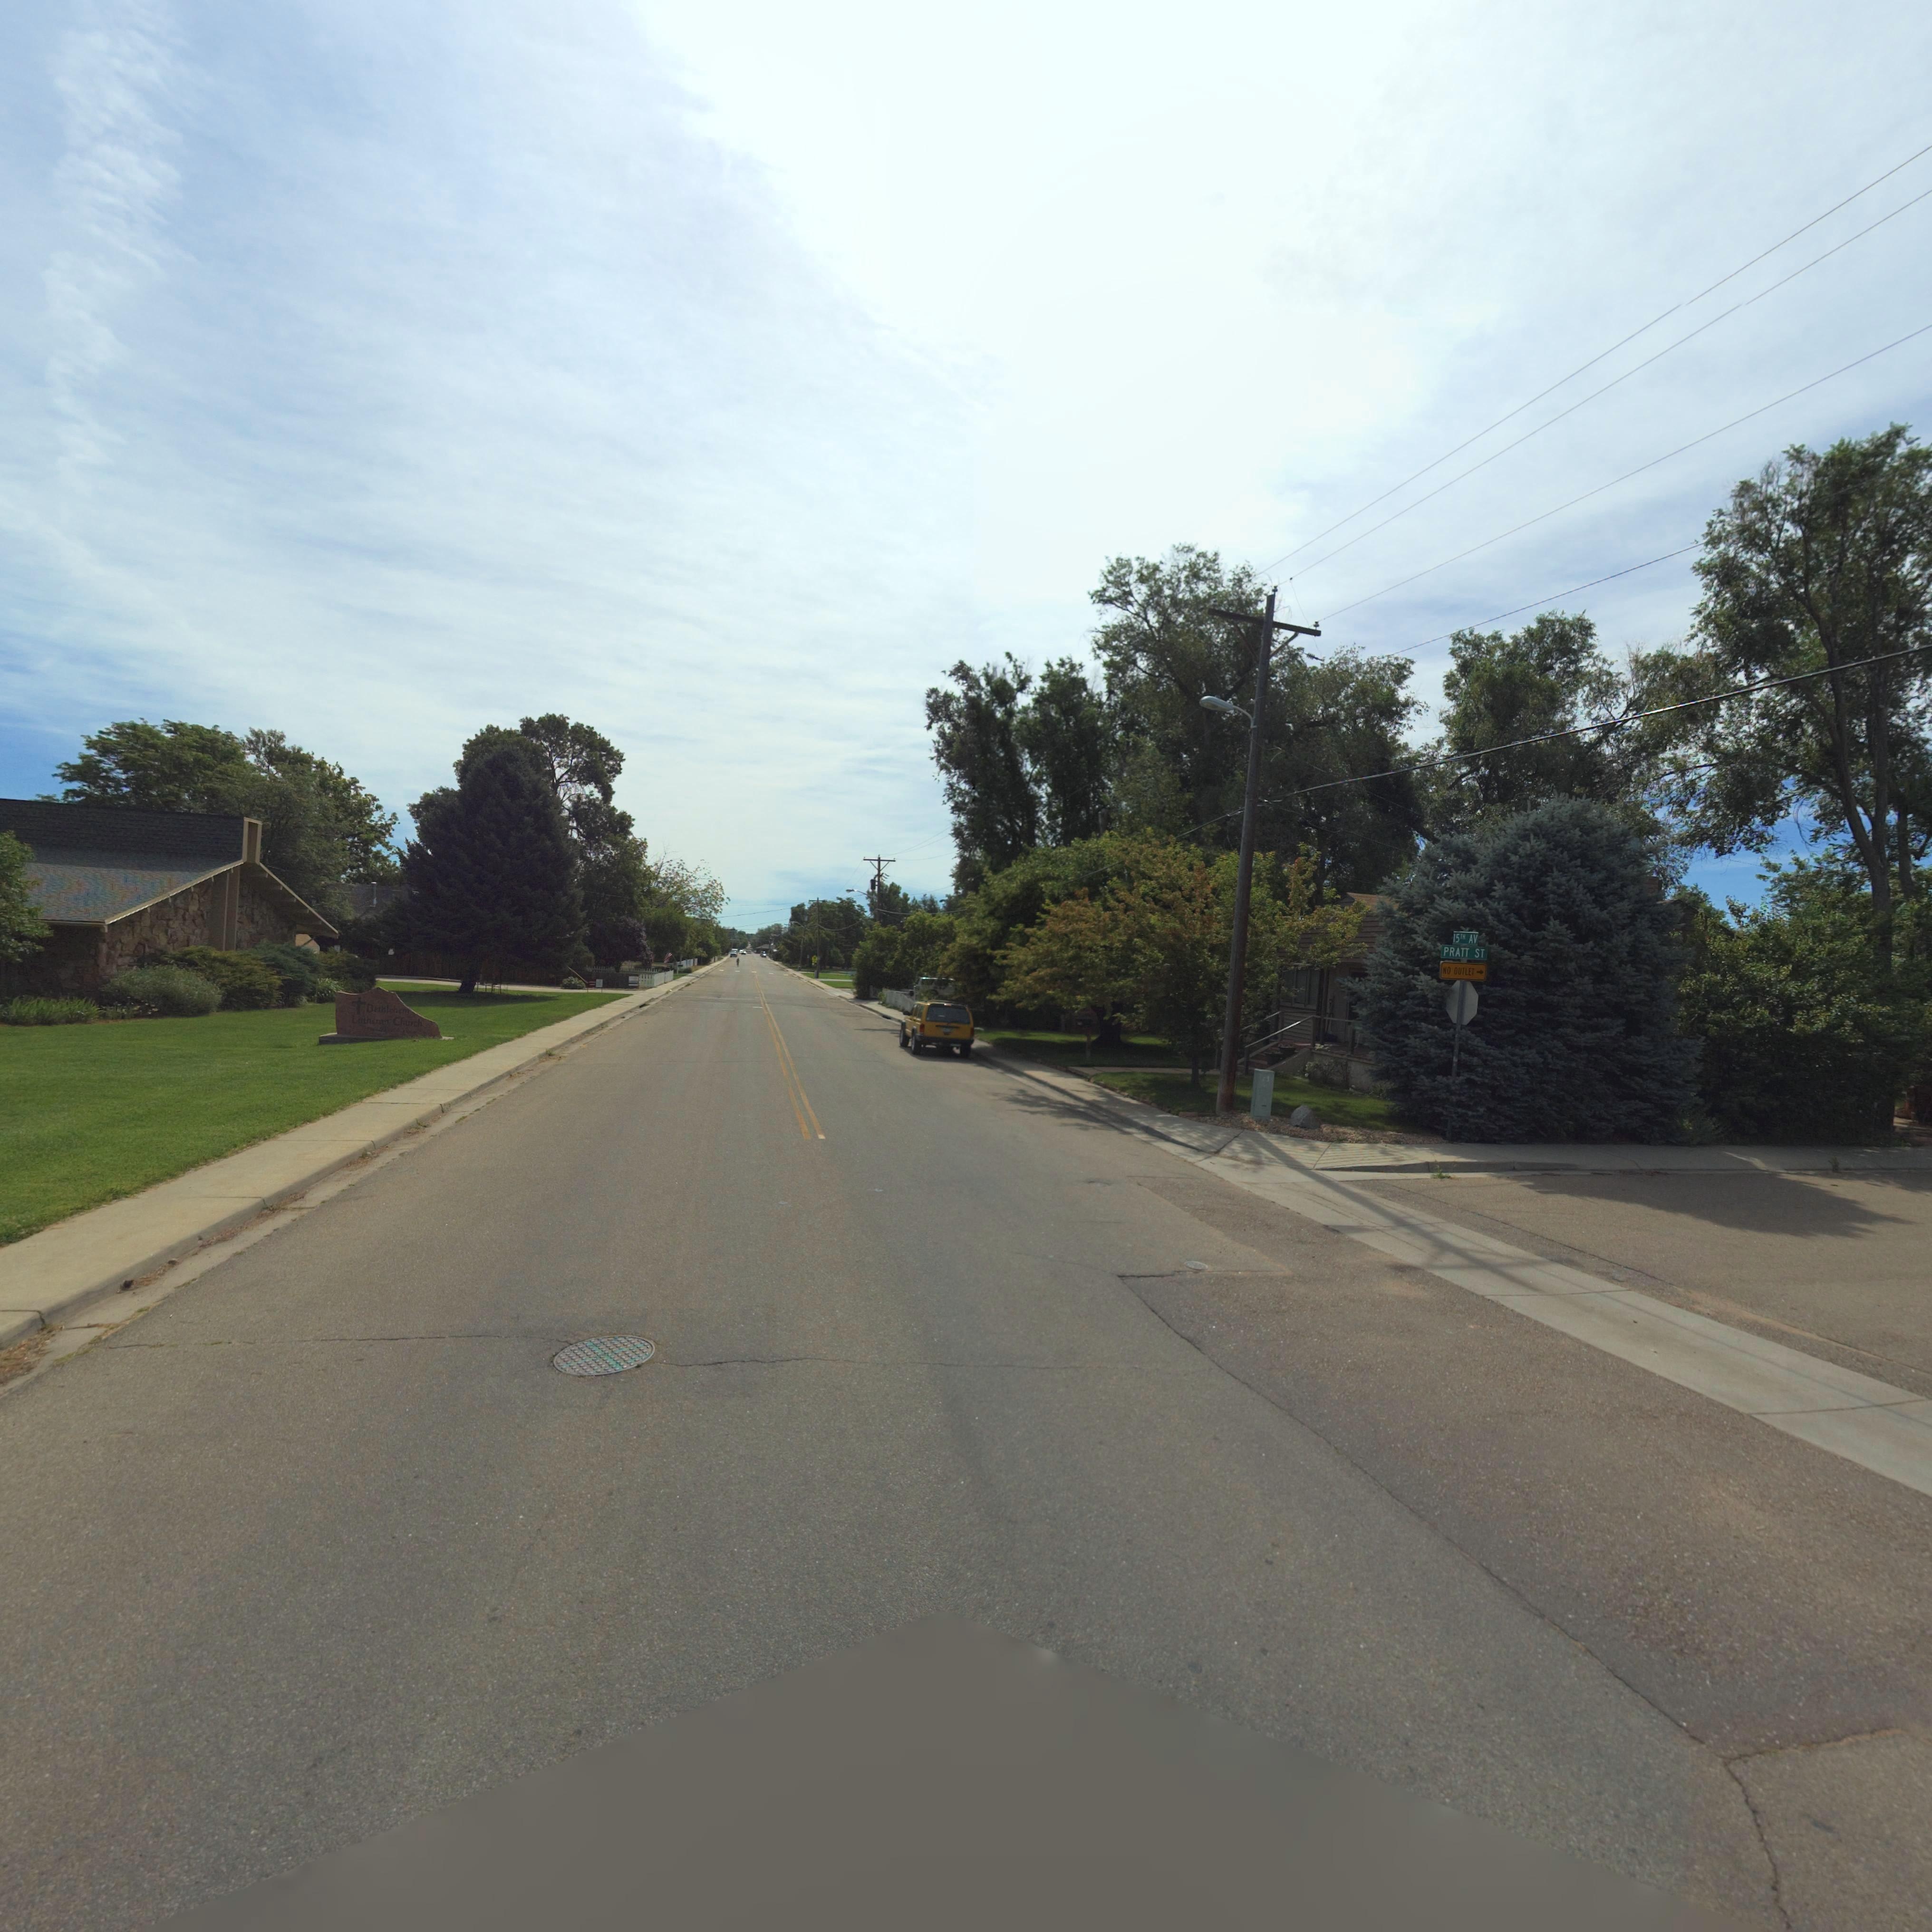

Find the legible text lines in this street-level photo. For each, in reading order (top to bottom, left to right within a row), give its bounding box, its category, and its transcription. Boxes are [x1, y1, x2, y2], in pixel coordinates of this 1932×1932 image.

[1453, 934, 1478, 944] StreetName: 15TH AV
[1443, 947, 1485, 957] StreetName: PRATT ST
[366, 1004, 409, 1014] BusinessName: Bethlehem
[351, 1015, 423, 1027] BusinessName: Lutheran Church